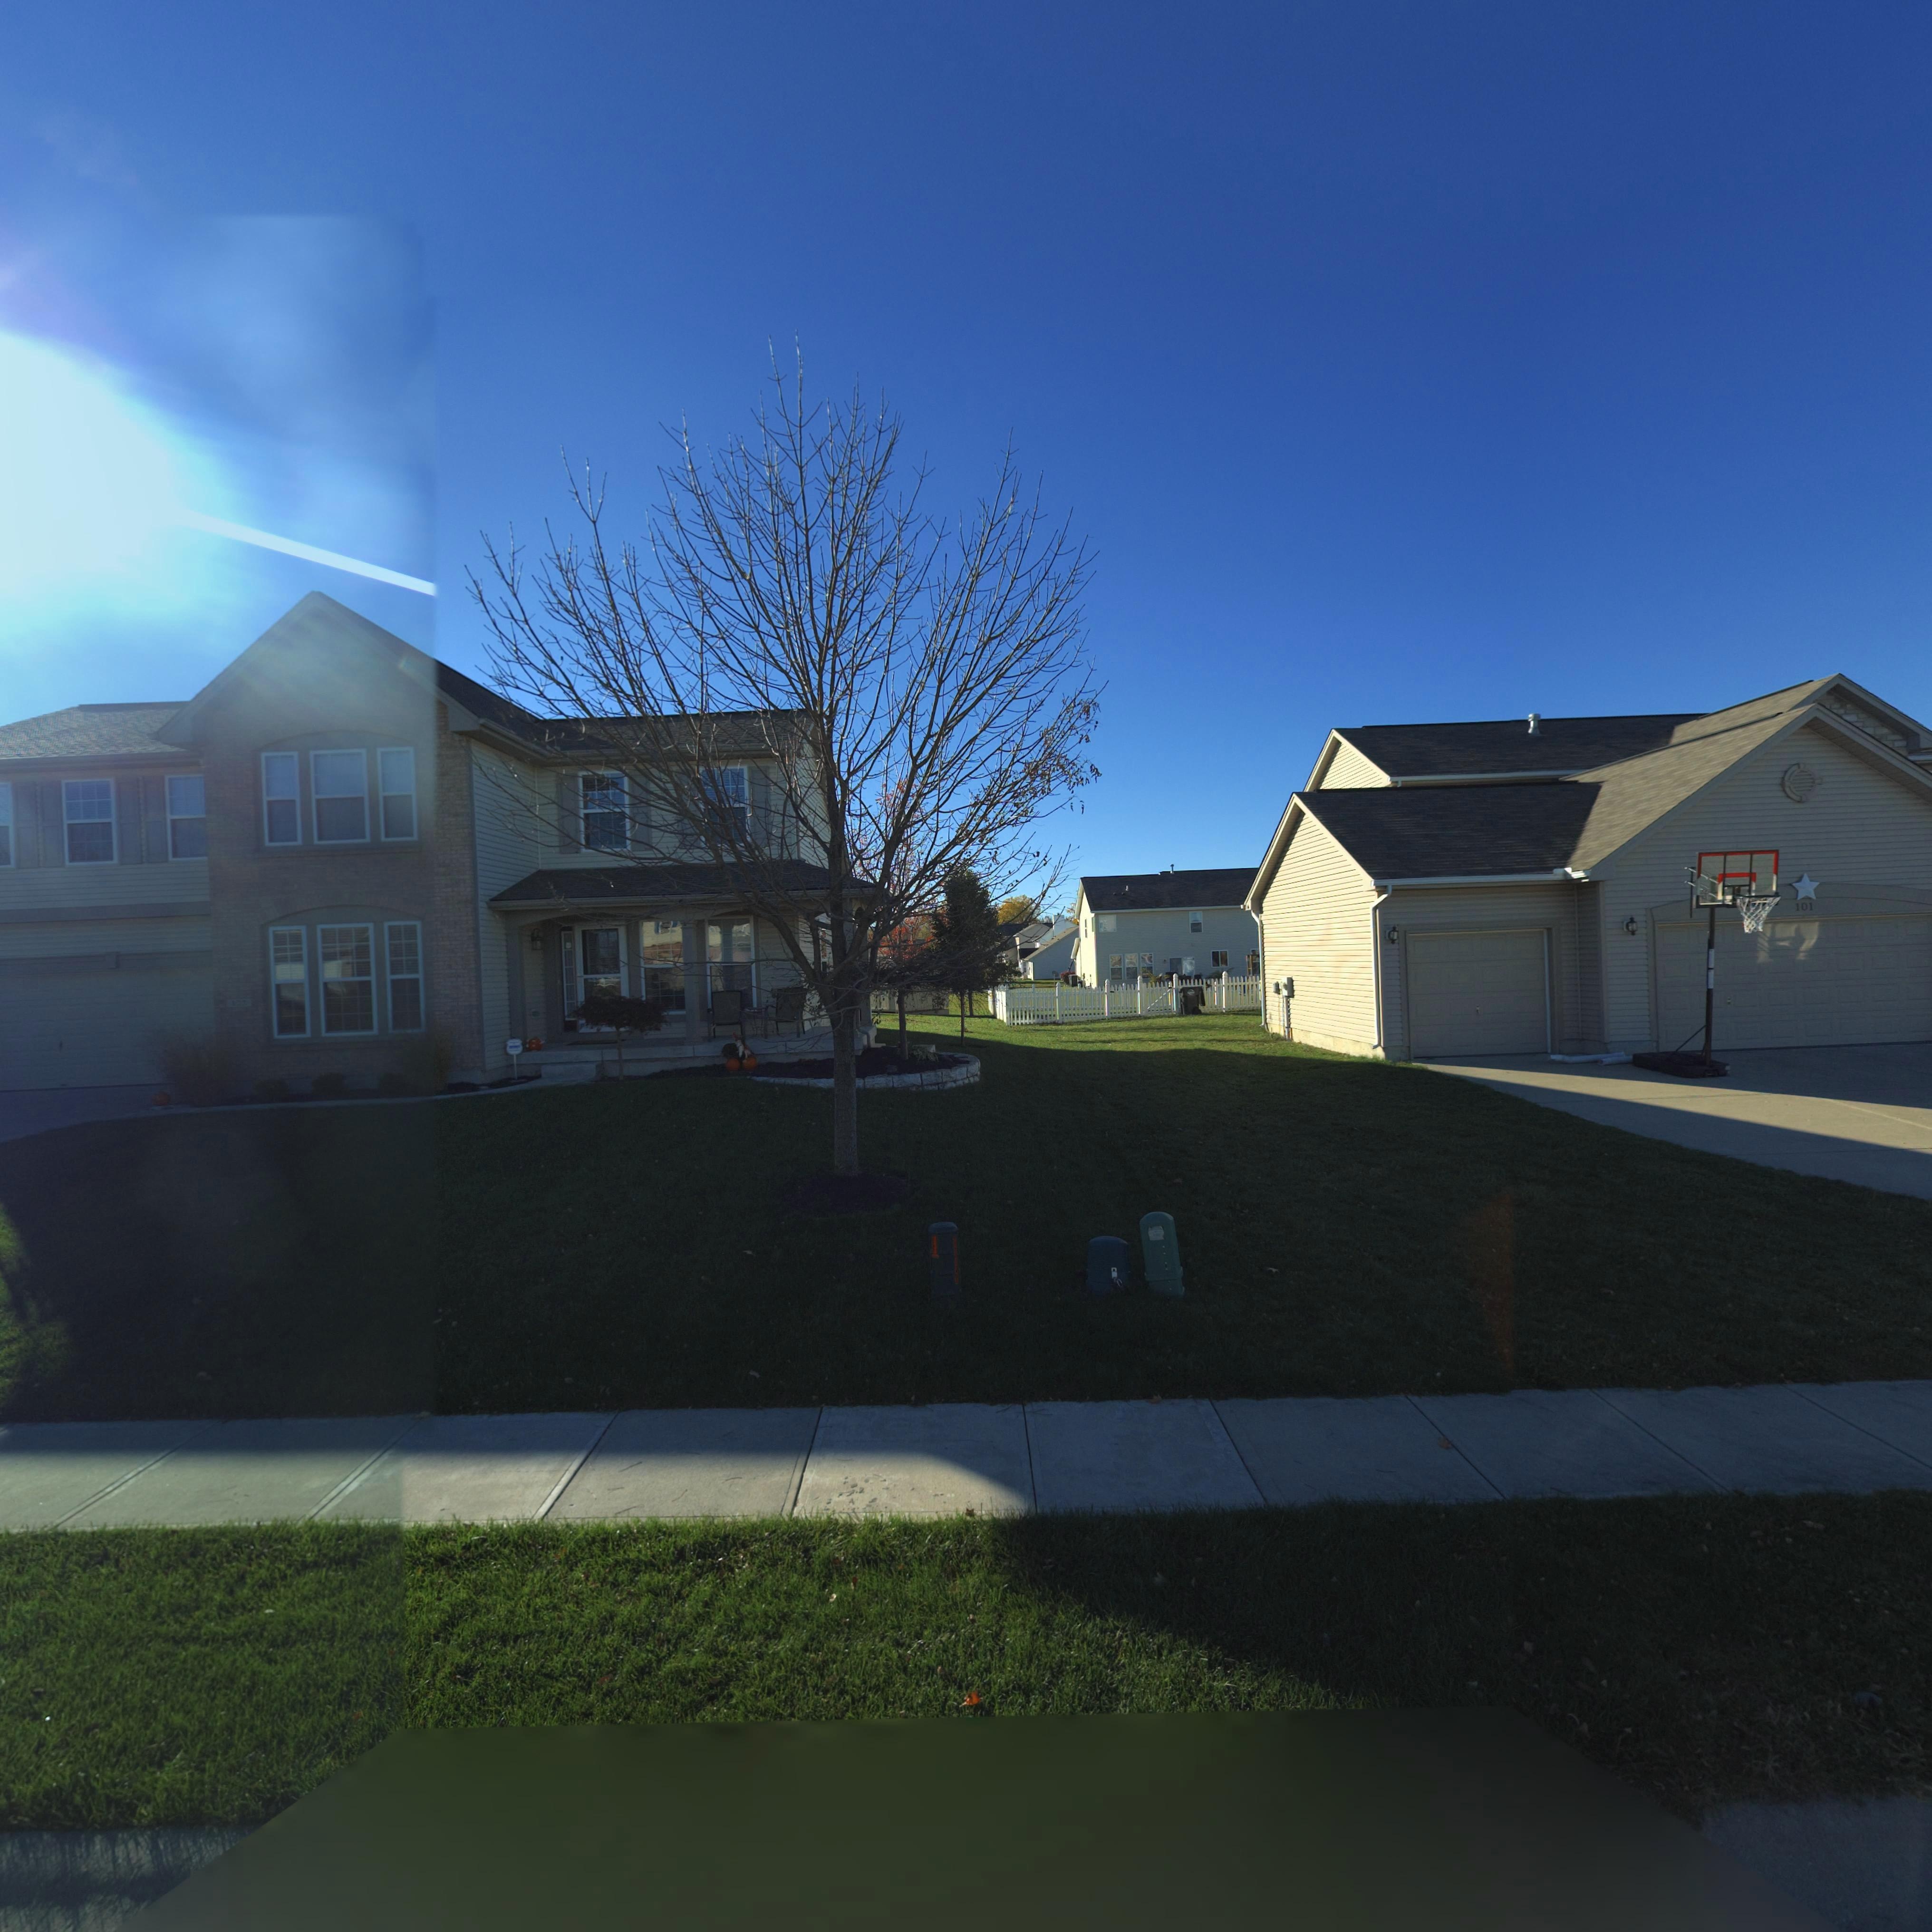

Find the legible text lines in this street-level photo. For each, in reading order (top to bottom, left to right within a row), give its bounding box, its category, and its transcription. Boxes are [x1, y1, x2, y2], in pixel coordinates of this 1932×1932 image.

[1794, 901, 1815, 912] StreetNumber: 101